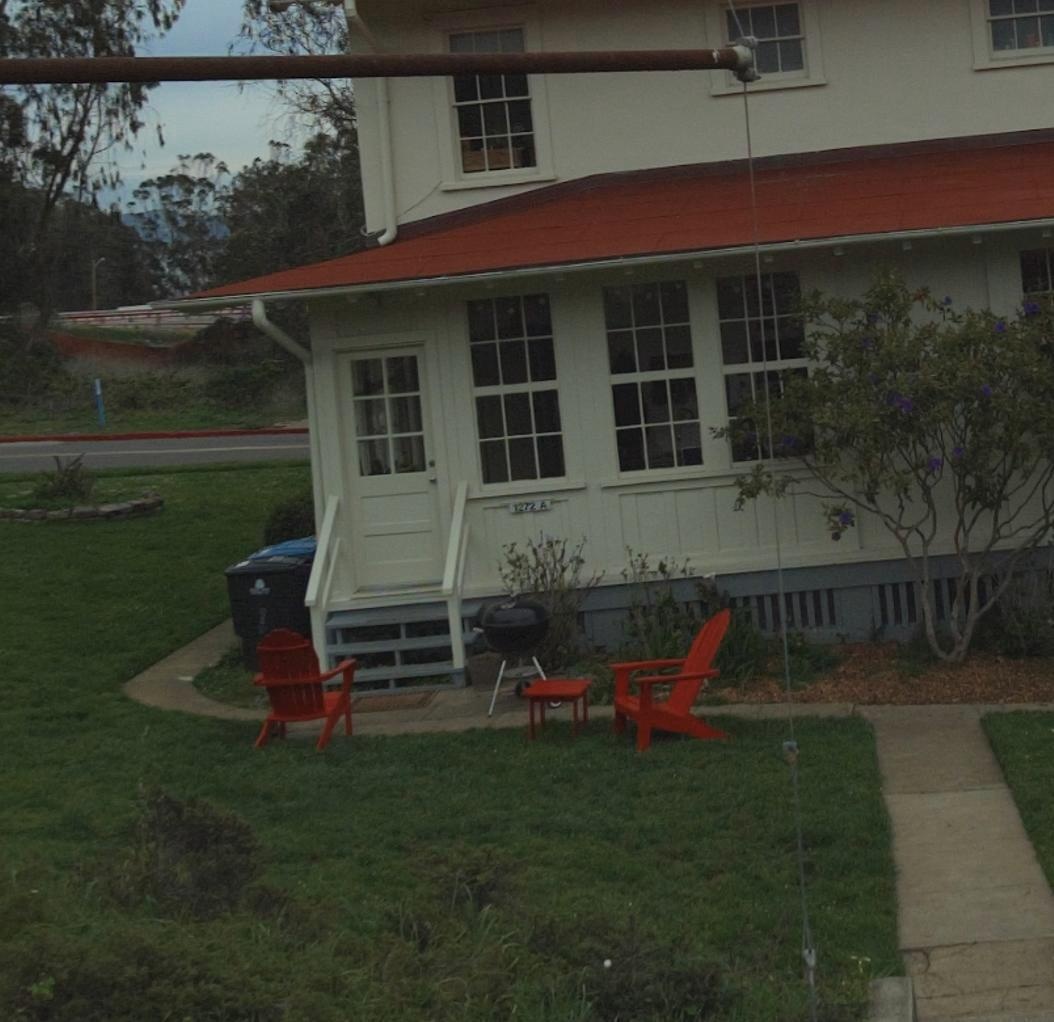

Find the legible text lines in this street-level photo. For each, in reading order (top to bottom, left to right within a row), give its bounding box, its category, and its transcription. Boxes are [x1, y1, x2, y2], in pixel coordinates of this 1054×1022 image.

[512, 499, 552, 514] StreetNumber: 1272 A